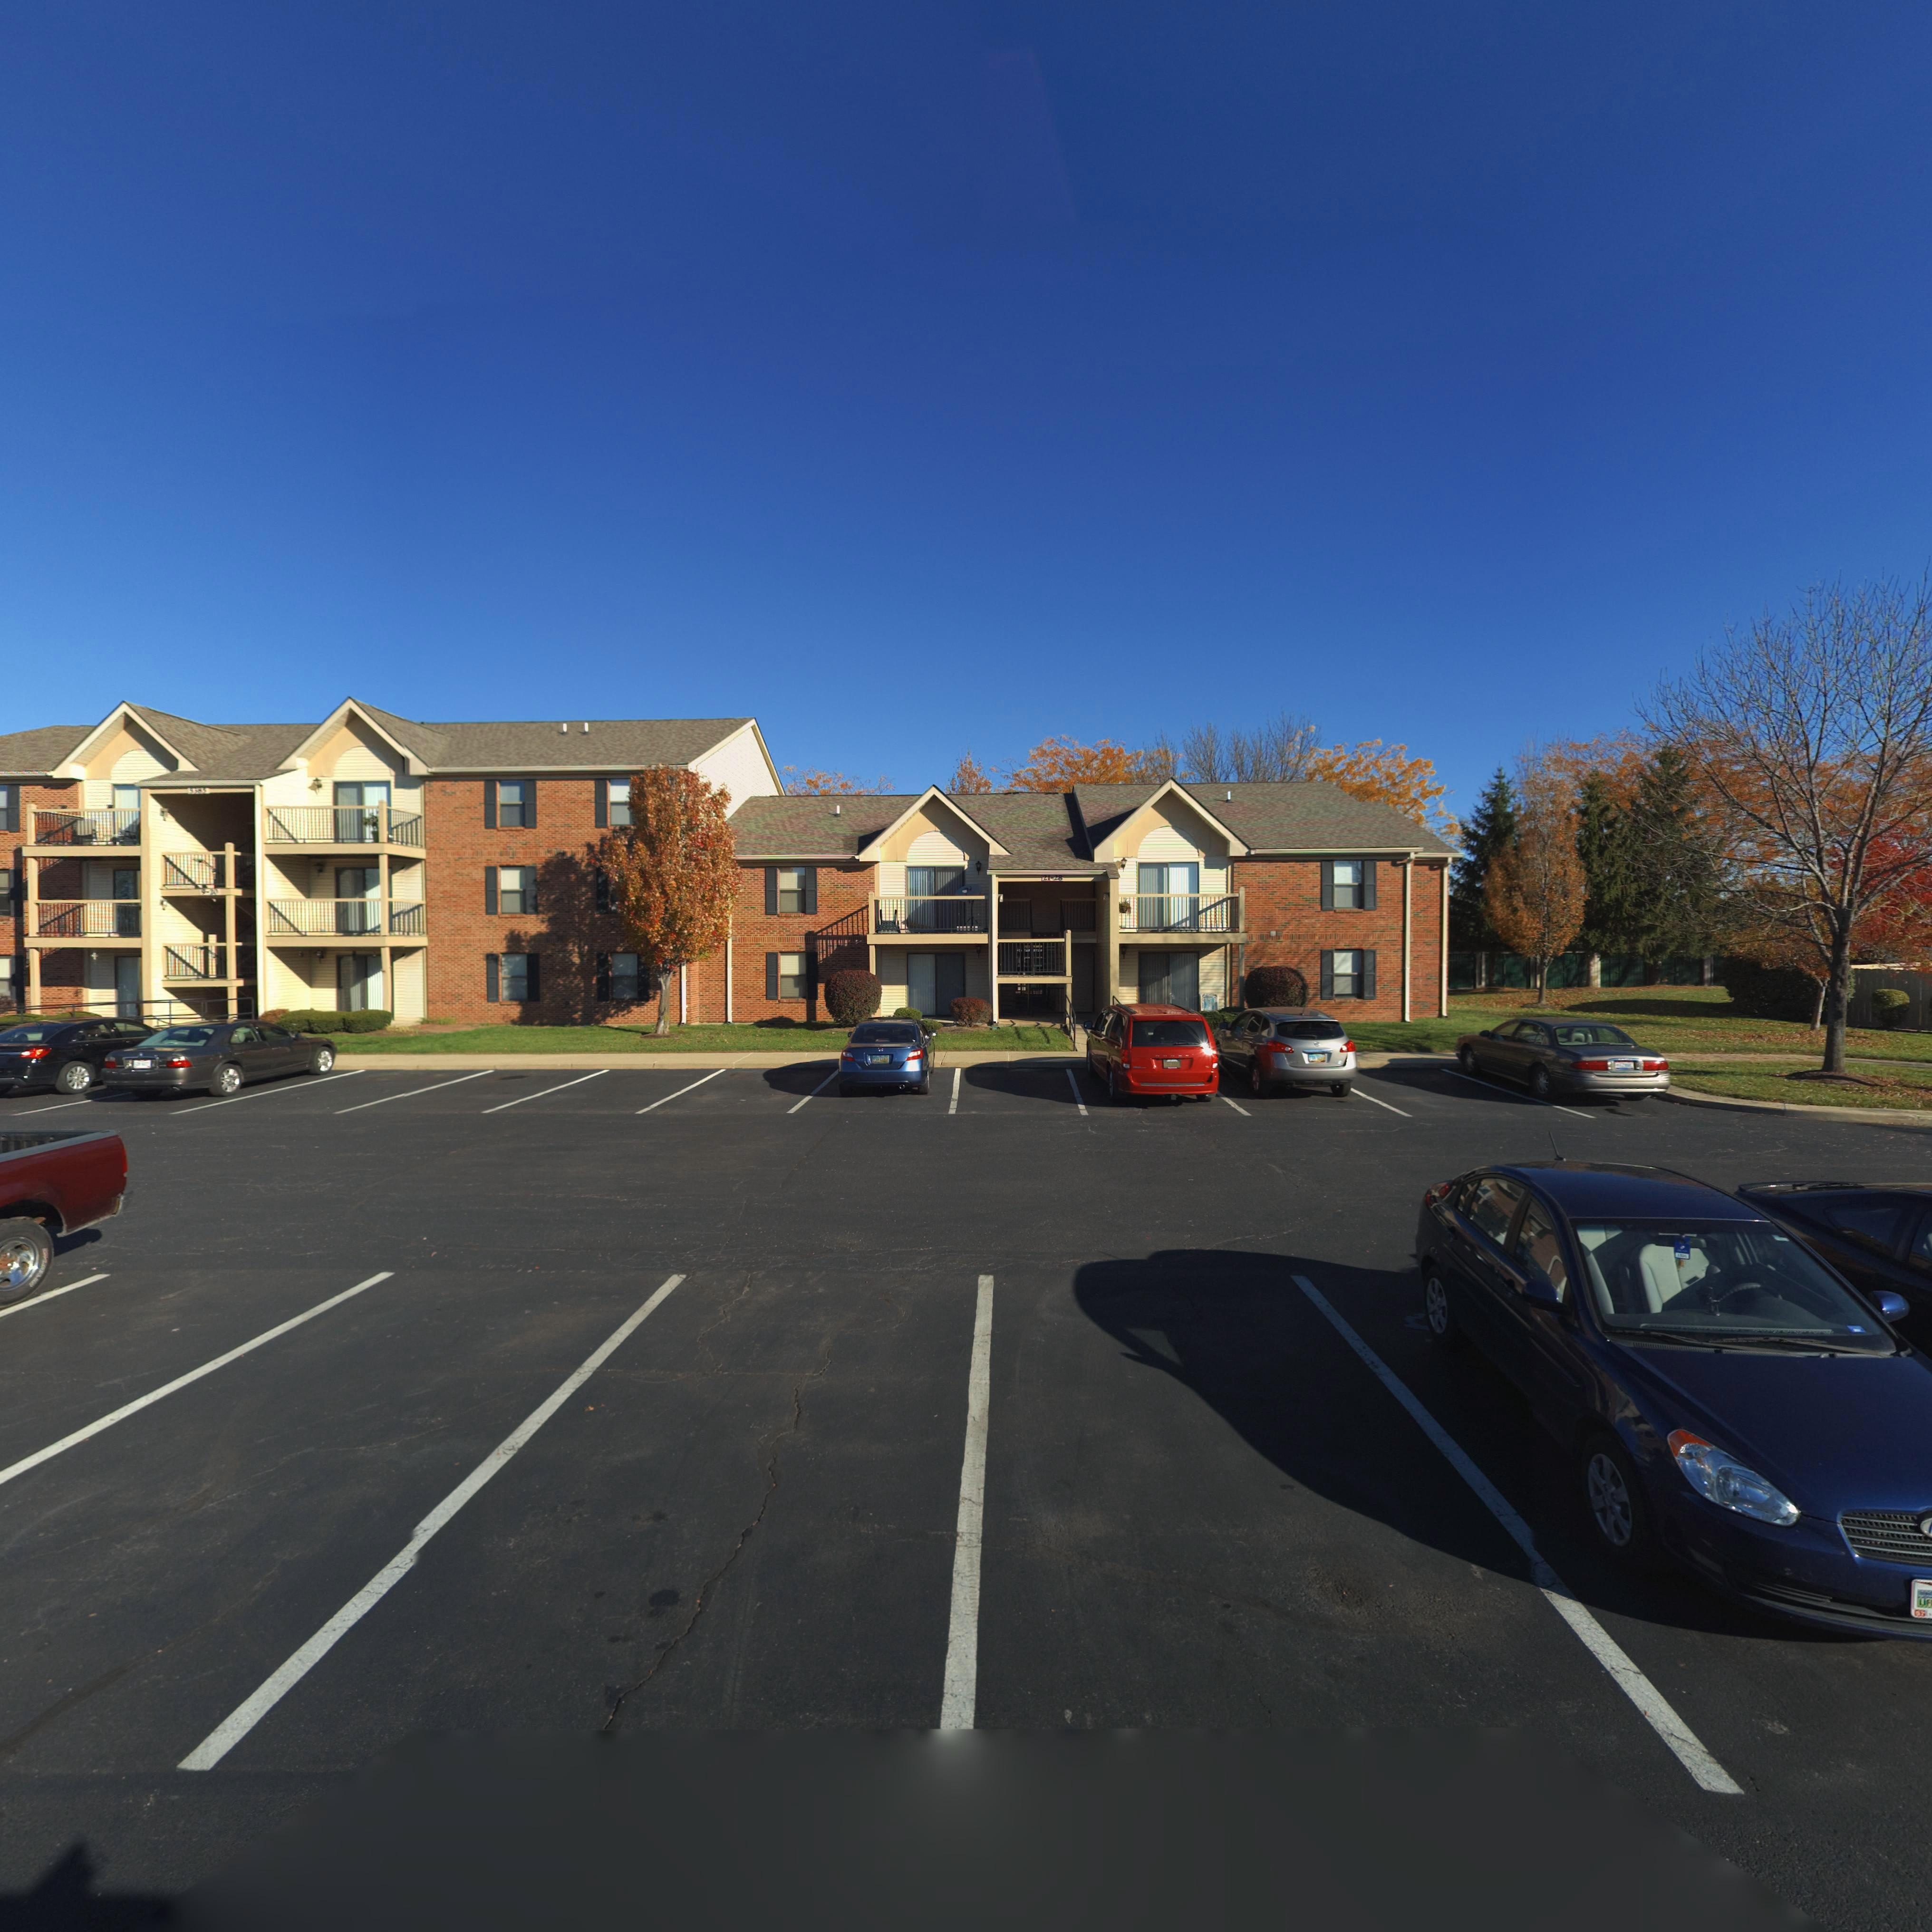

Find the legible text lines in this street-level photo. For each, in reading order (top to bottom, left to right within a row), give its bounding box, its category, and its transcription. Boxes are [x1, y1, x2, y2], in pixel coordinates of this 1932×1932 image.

[187, 786, 208, 794] StreetNumber: 5385
[1043, 874, 1062, 880] StreetNumber: 21-28
[200, 888, 218, 896] StreetNumber: 9-20